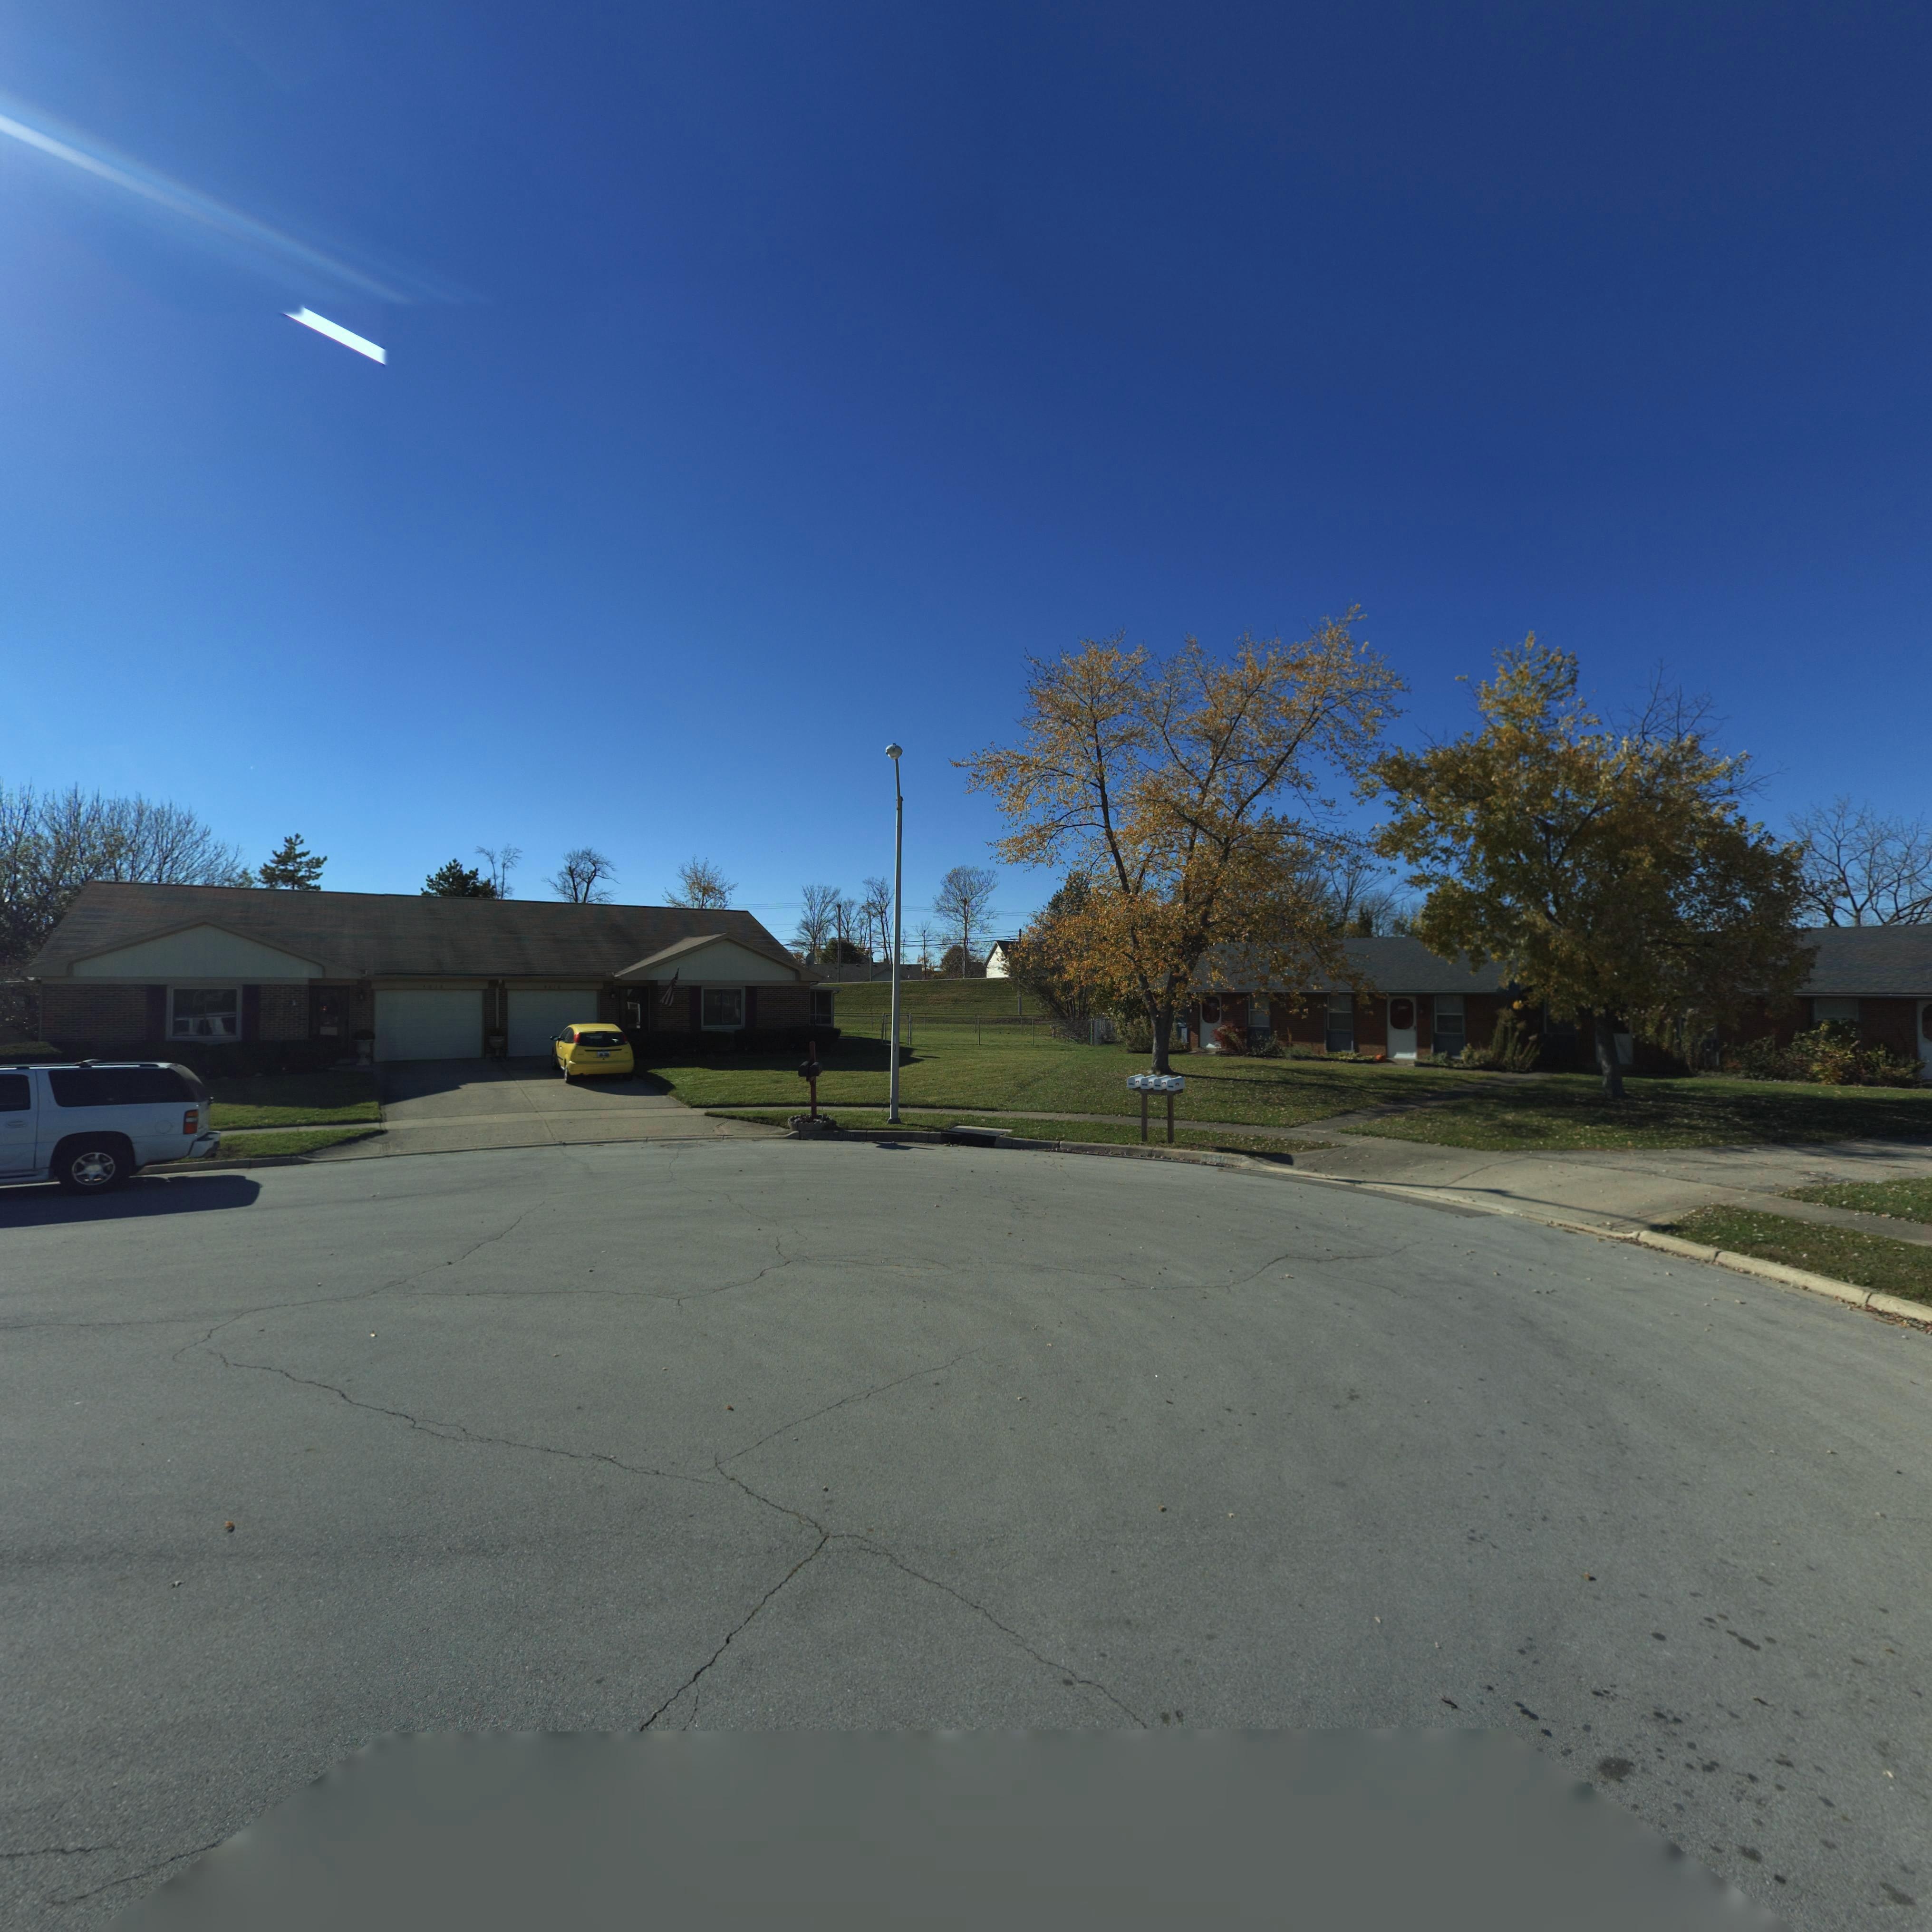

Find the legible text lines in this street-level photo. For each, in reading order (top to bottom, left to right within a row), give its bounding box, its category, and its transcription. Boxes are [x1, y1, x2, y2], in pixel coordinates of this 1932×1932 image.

[422, 983, 444, 989] StreetNumber: 4016
[543, 985, 561, 990] StreetNumber: 4018
[1201, 1156, 1221, 1164] StreetNumber: 4028
[1222, 1158, 1238, 1167] StreetNumber: 403